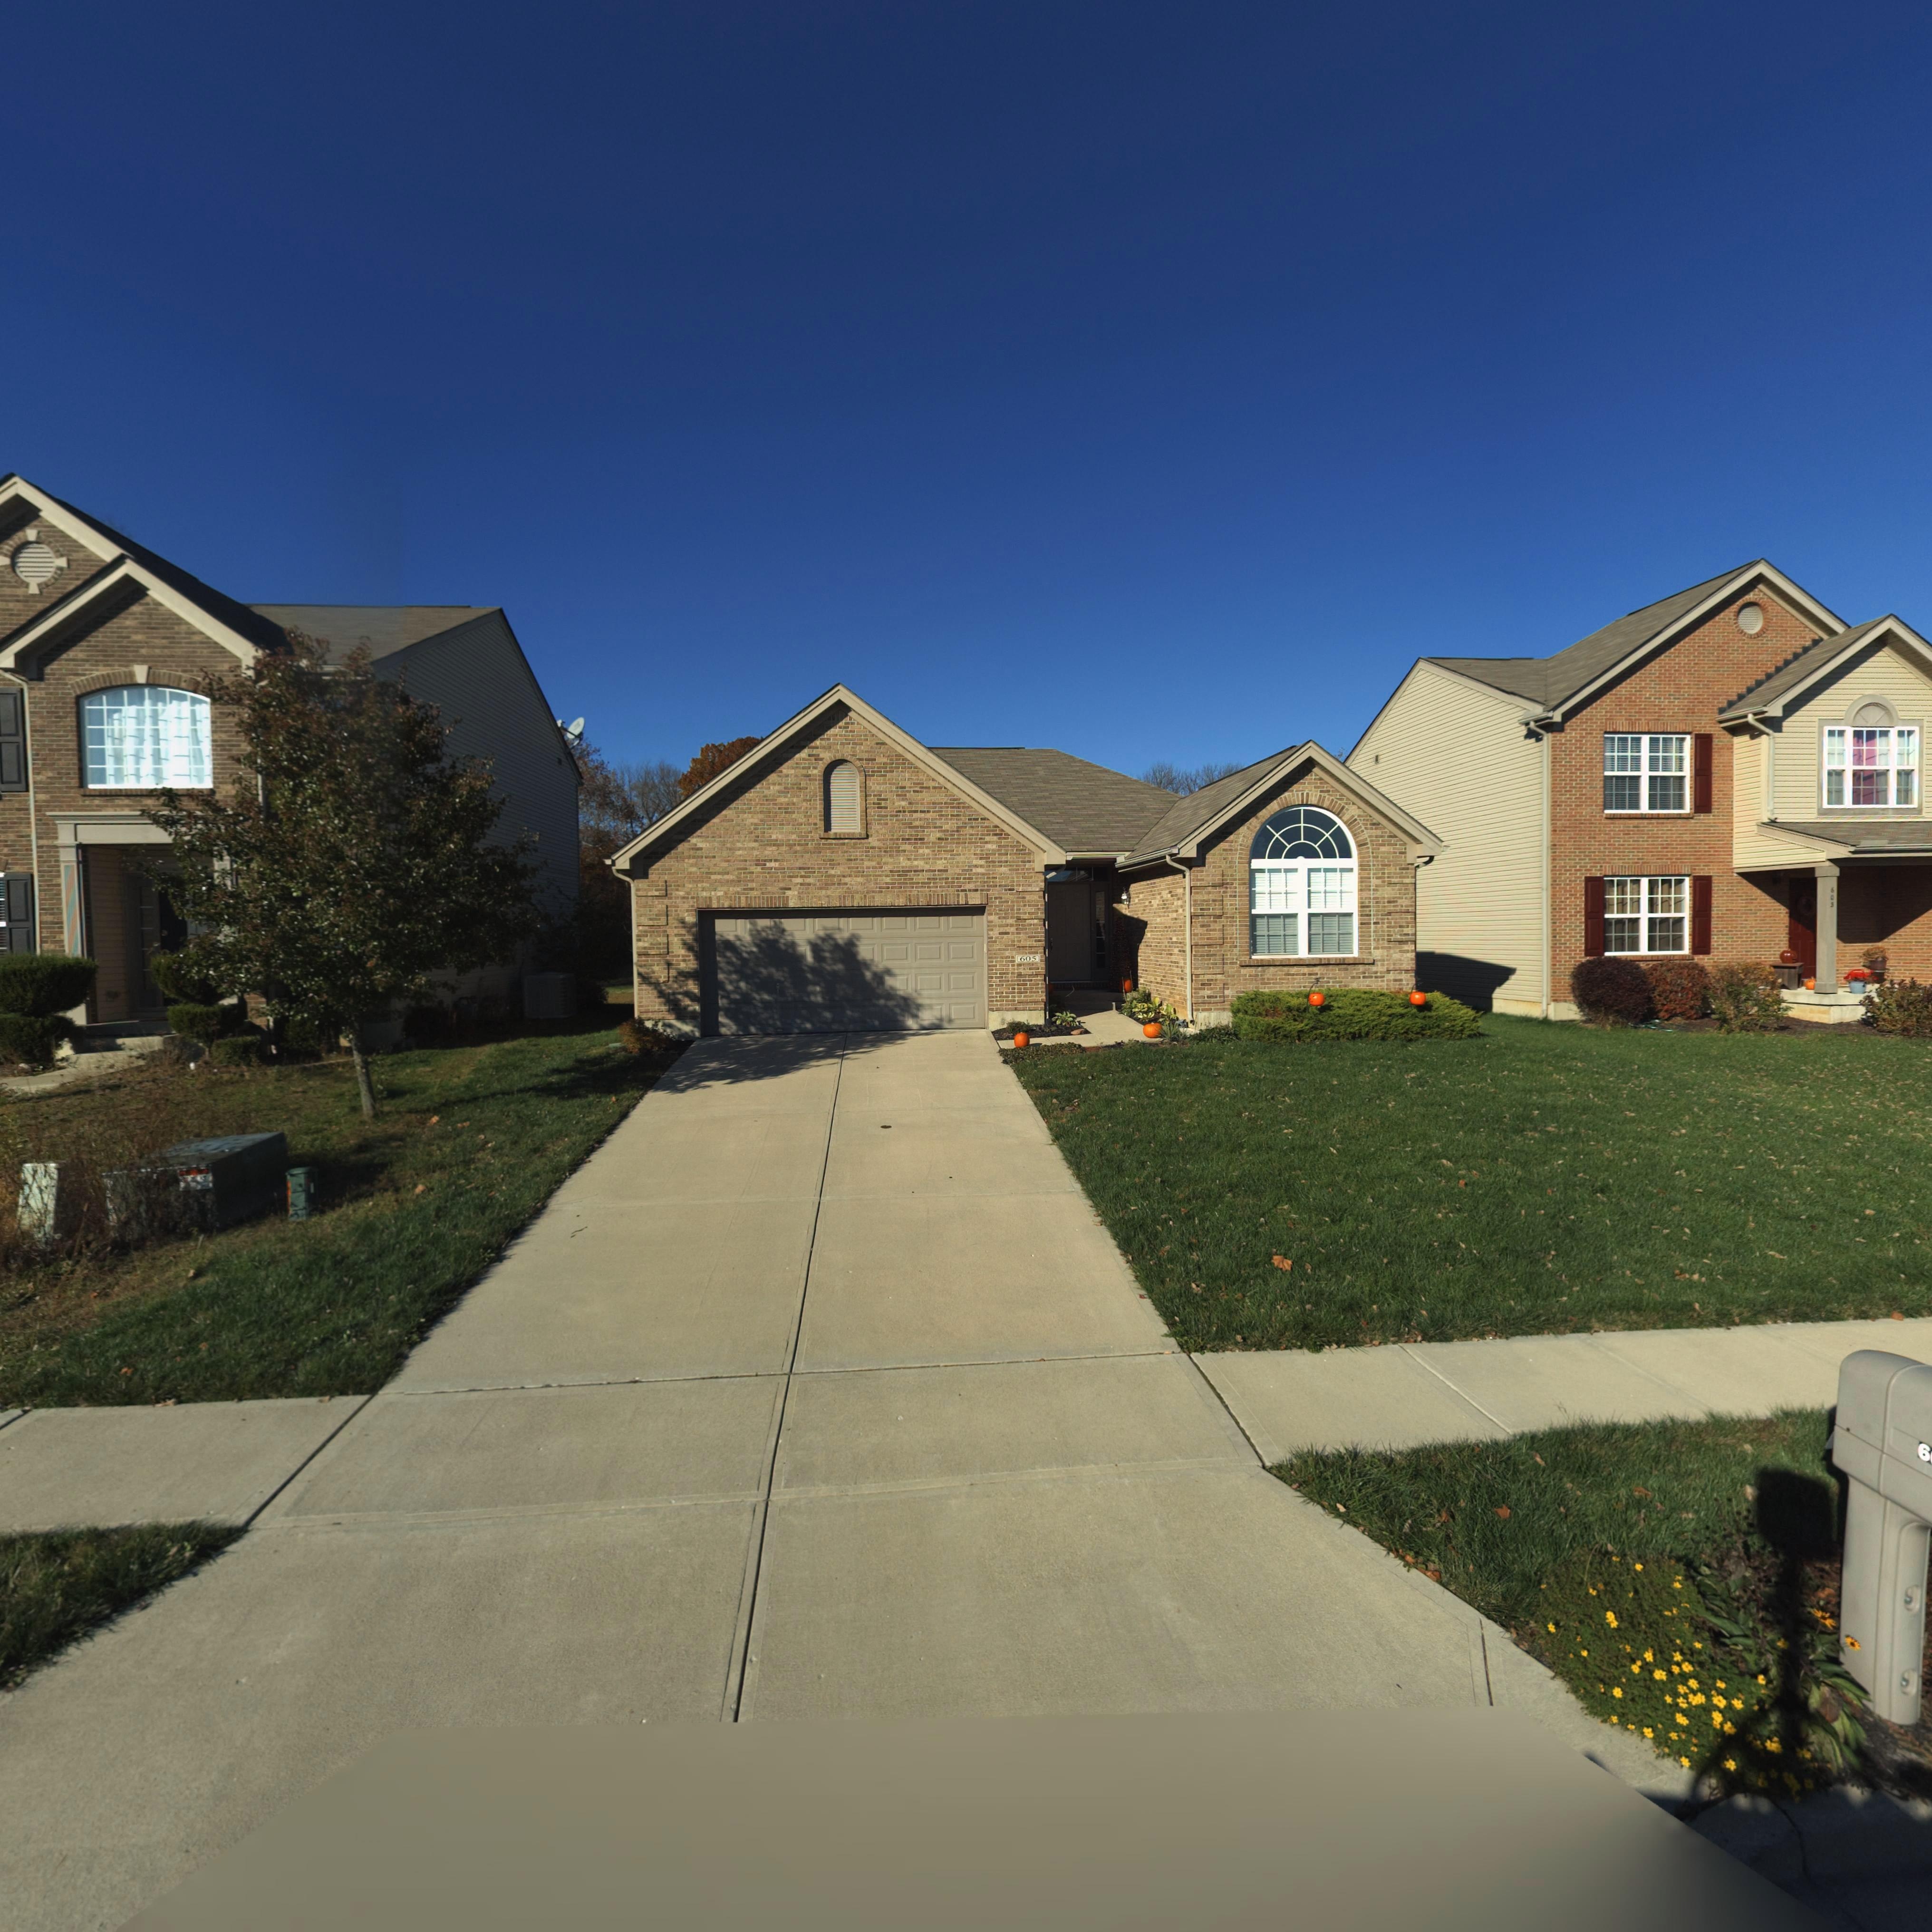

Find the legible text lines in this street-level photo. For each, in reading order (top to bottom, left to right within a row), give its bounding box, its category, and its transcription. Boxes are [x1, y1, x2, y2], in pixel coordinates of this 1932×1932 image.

[1830, 886, 1835, 908] StreetNumber: 603
[1020, 955, 1036, 962] StreetNumber: 605
[1917, 1442, 1931, 1462] StreetNumber: 6